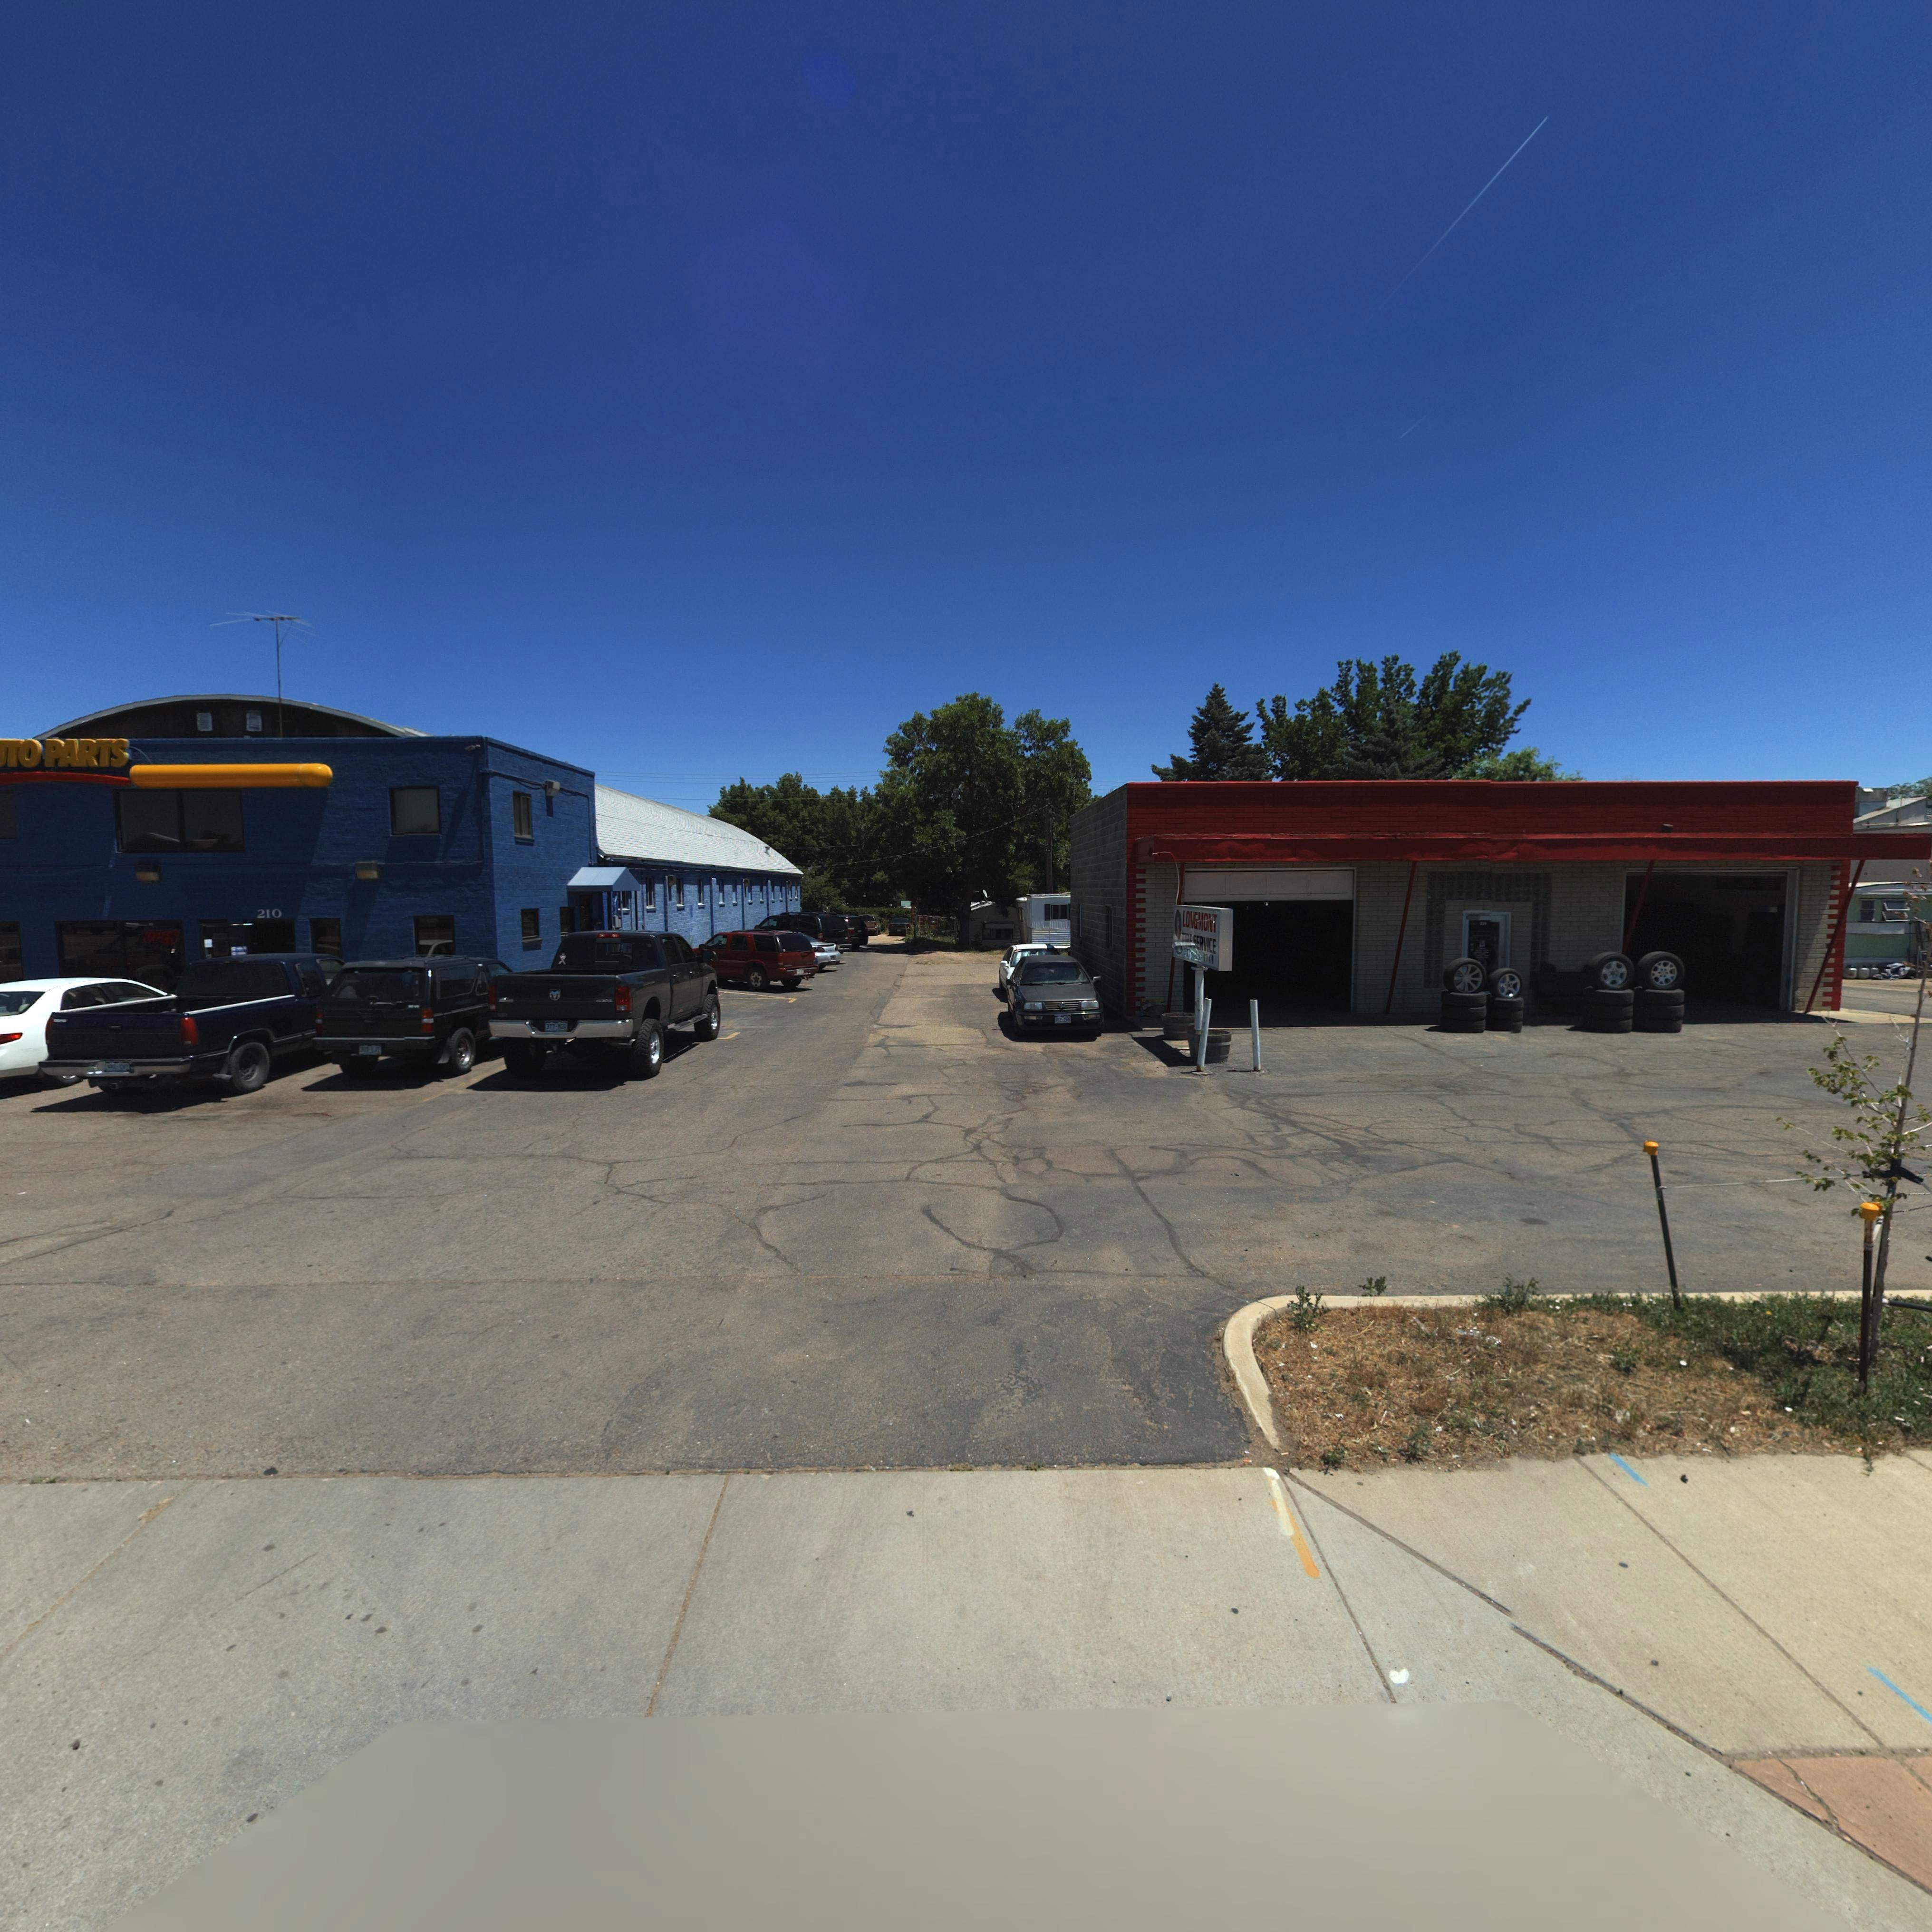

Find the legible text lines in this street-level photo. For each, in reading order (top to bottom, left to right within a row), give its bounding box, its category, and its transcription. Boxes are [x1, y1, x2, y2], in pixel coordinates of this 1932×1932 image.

[3, 738, 131, 767] BusinessName: TO PARTS
[256, 908, 282, 918] StreetNumber: 210
[1182, 910, 1217, 933] BusinessName: LONGMONT
[1181, 932, 1216, 954] BusinessName: TIRE SERVICE